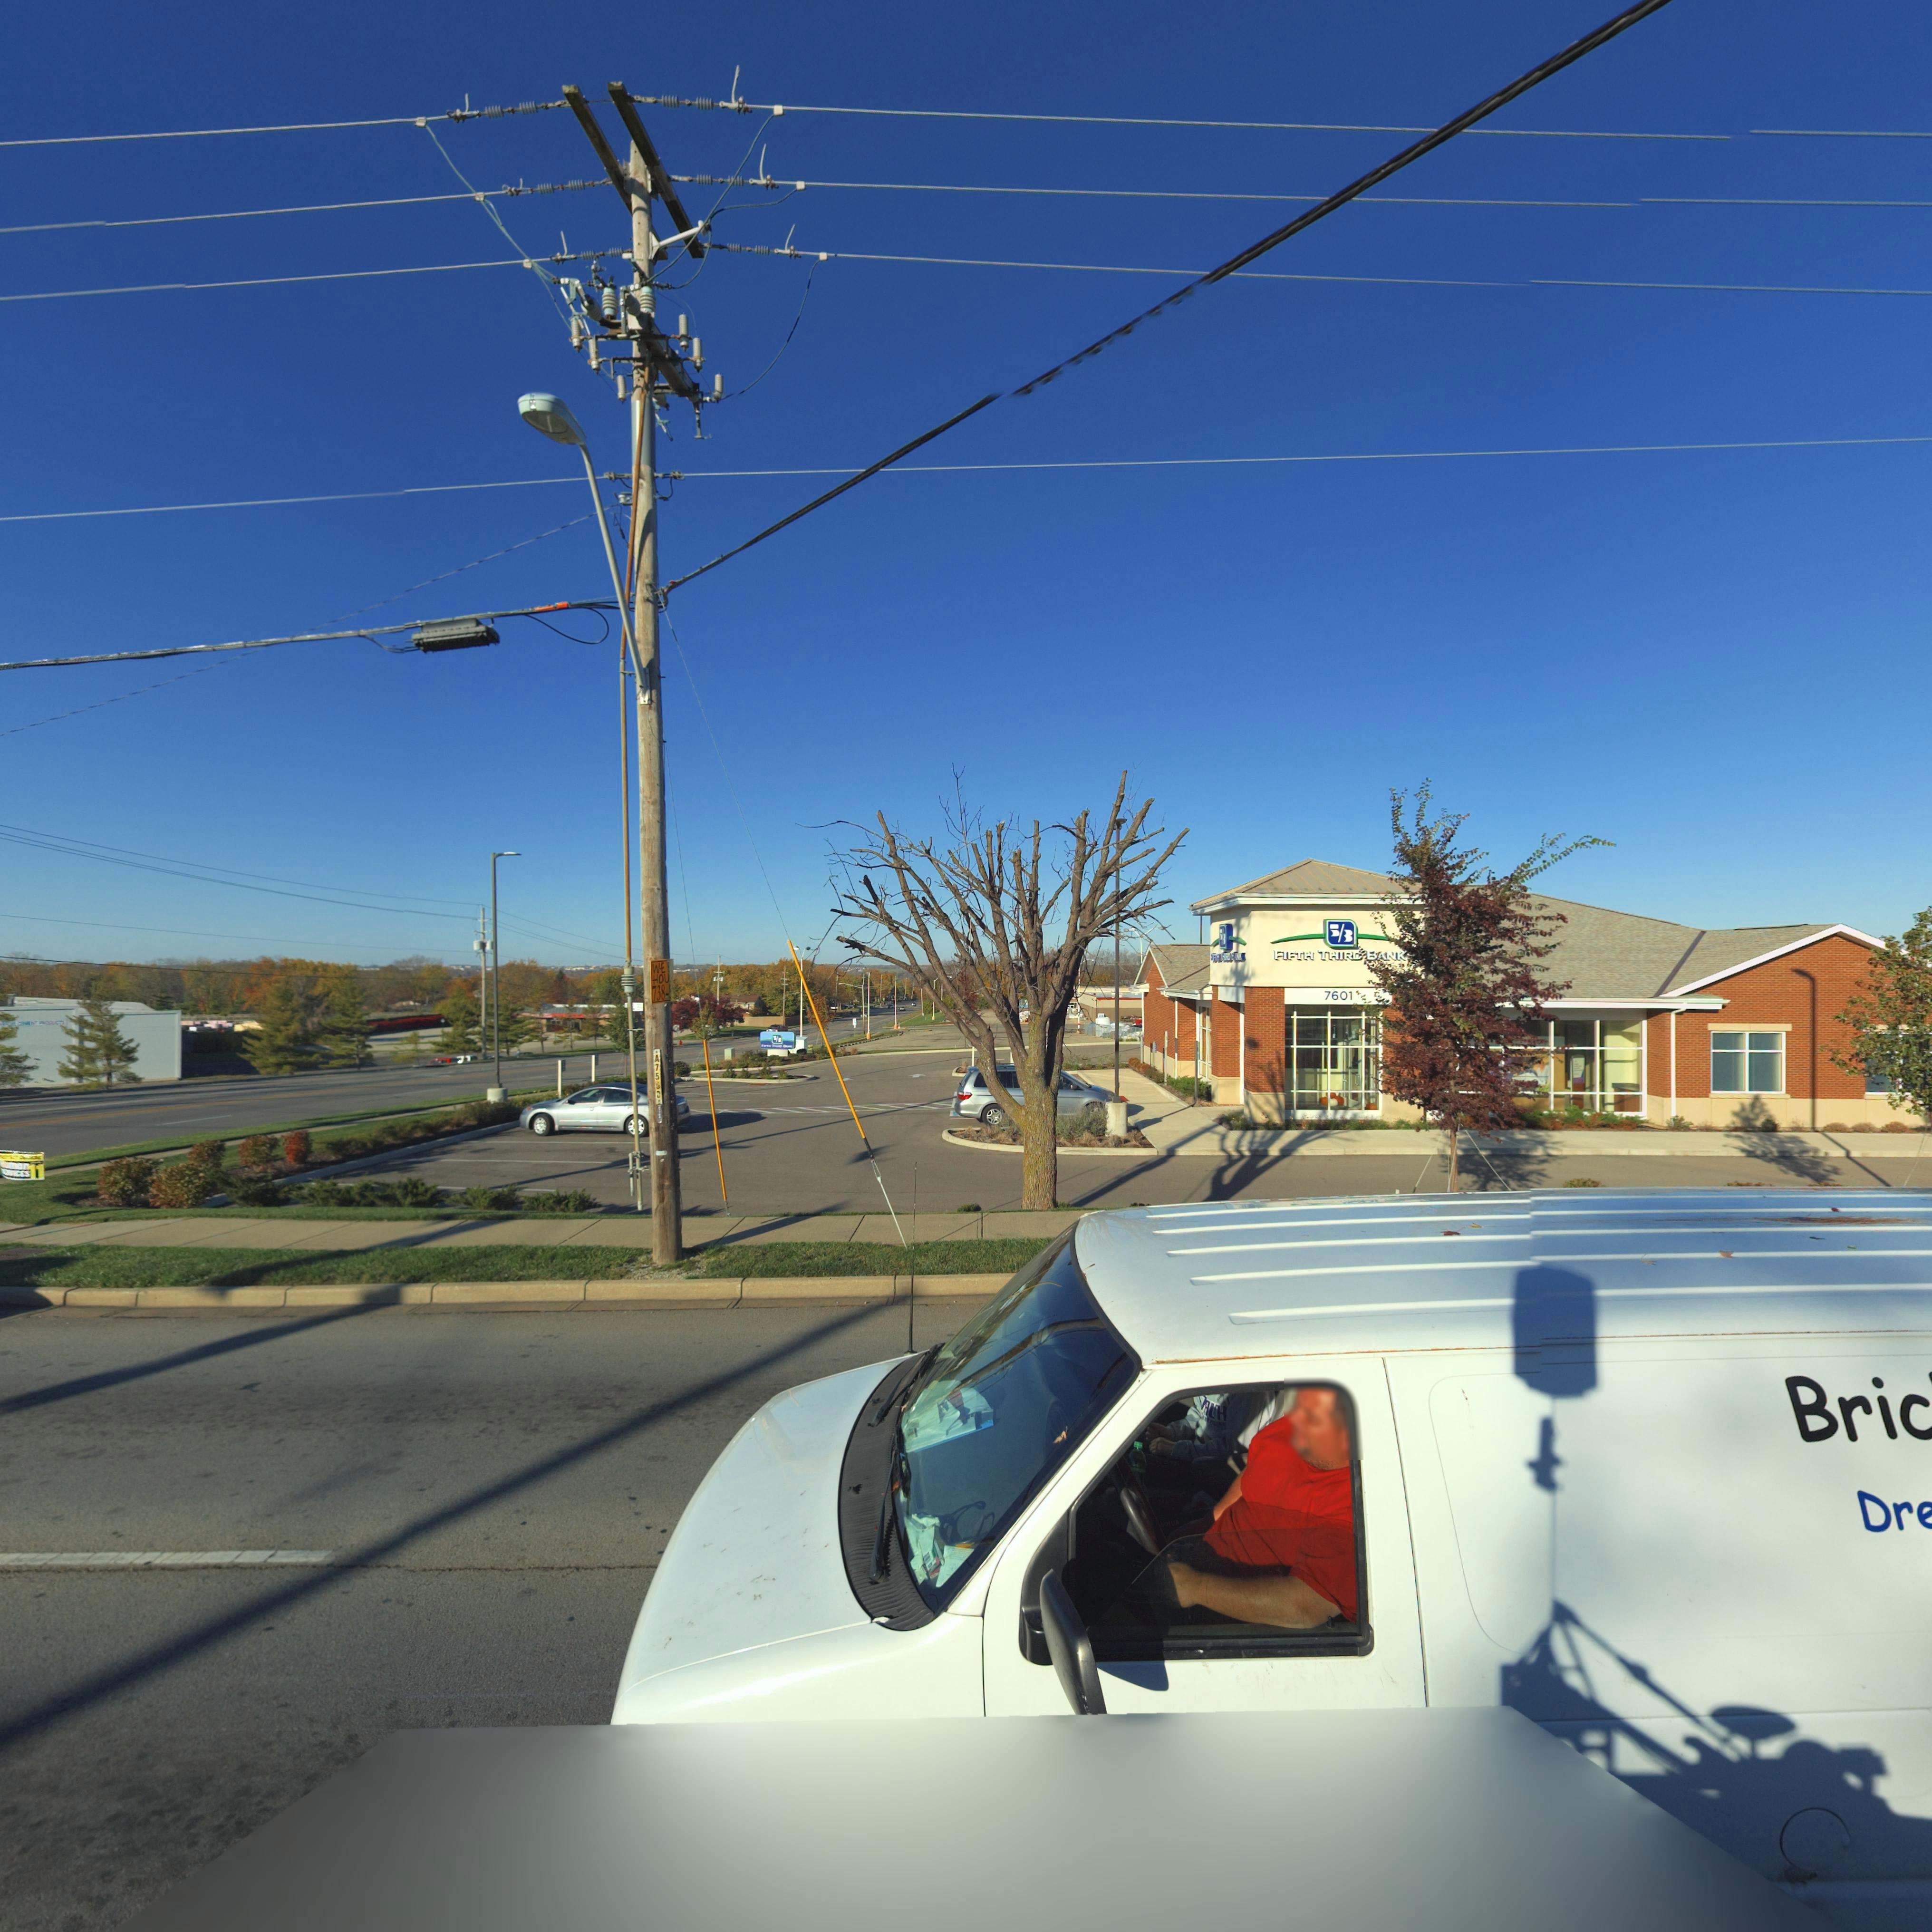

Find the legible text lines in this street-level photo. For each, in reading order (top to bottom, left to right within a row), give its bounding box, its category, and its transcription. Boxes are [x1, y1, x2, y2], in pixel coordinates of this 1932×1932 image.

[1323, 990, 1353, 1002] StreetNumber: 7601